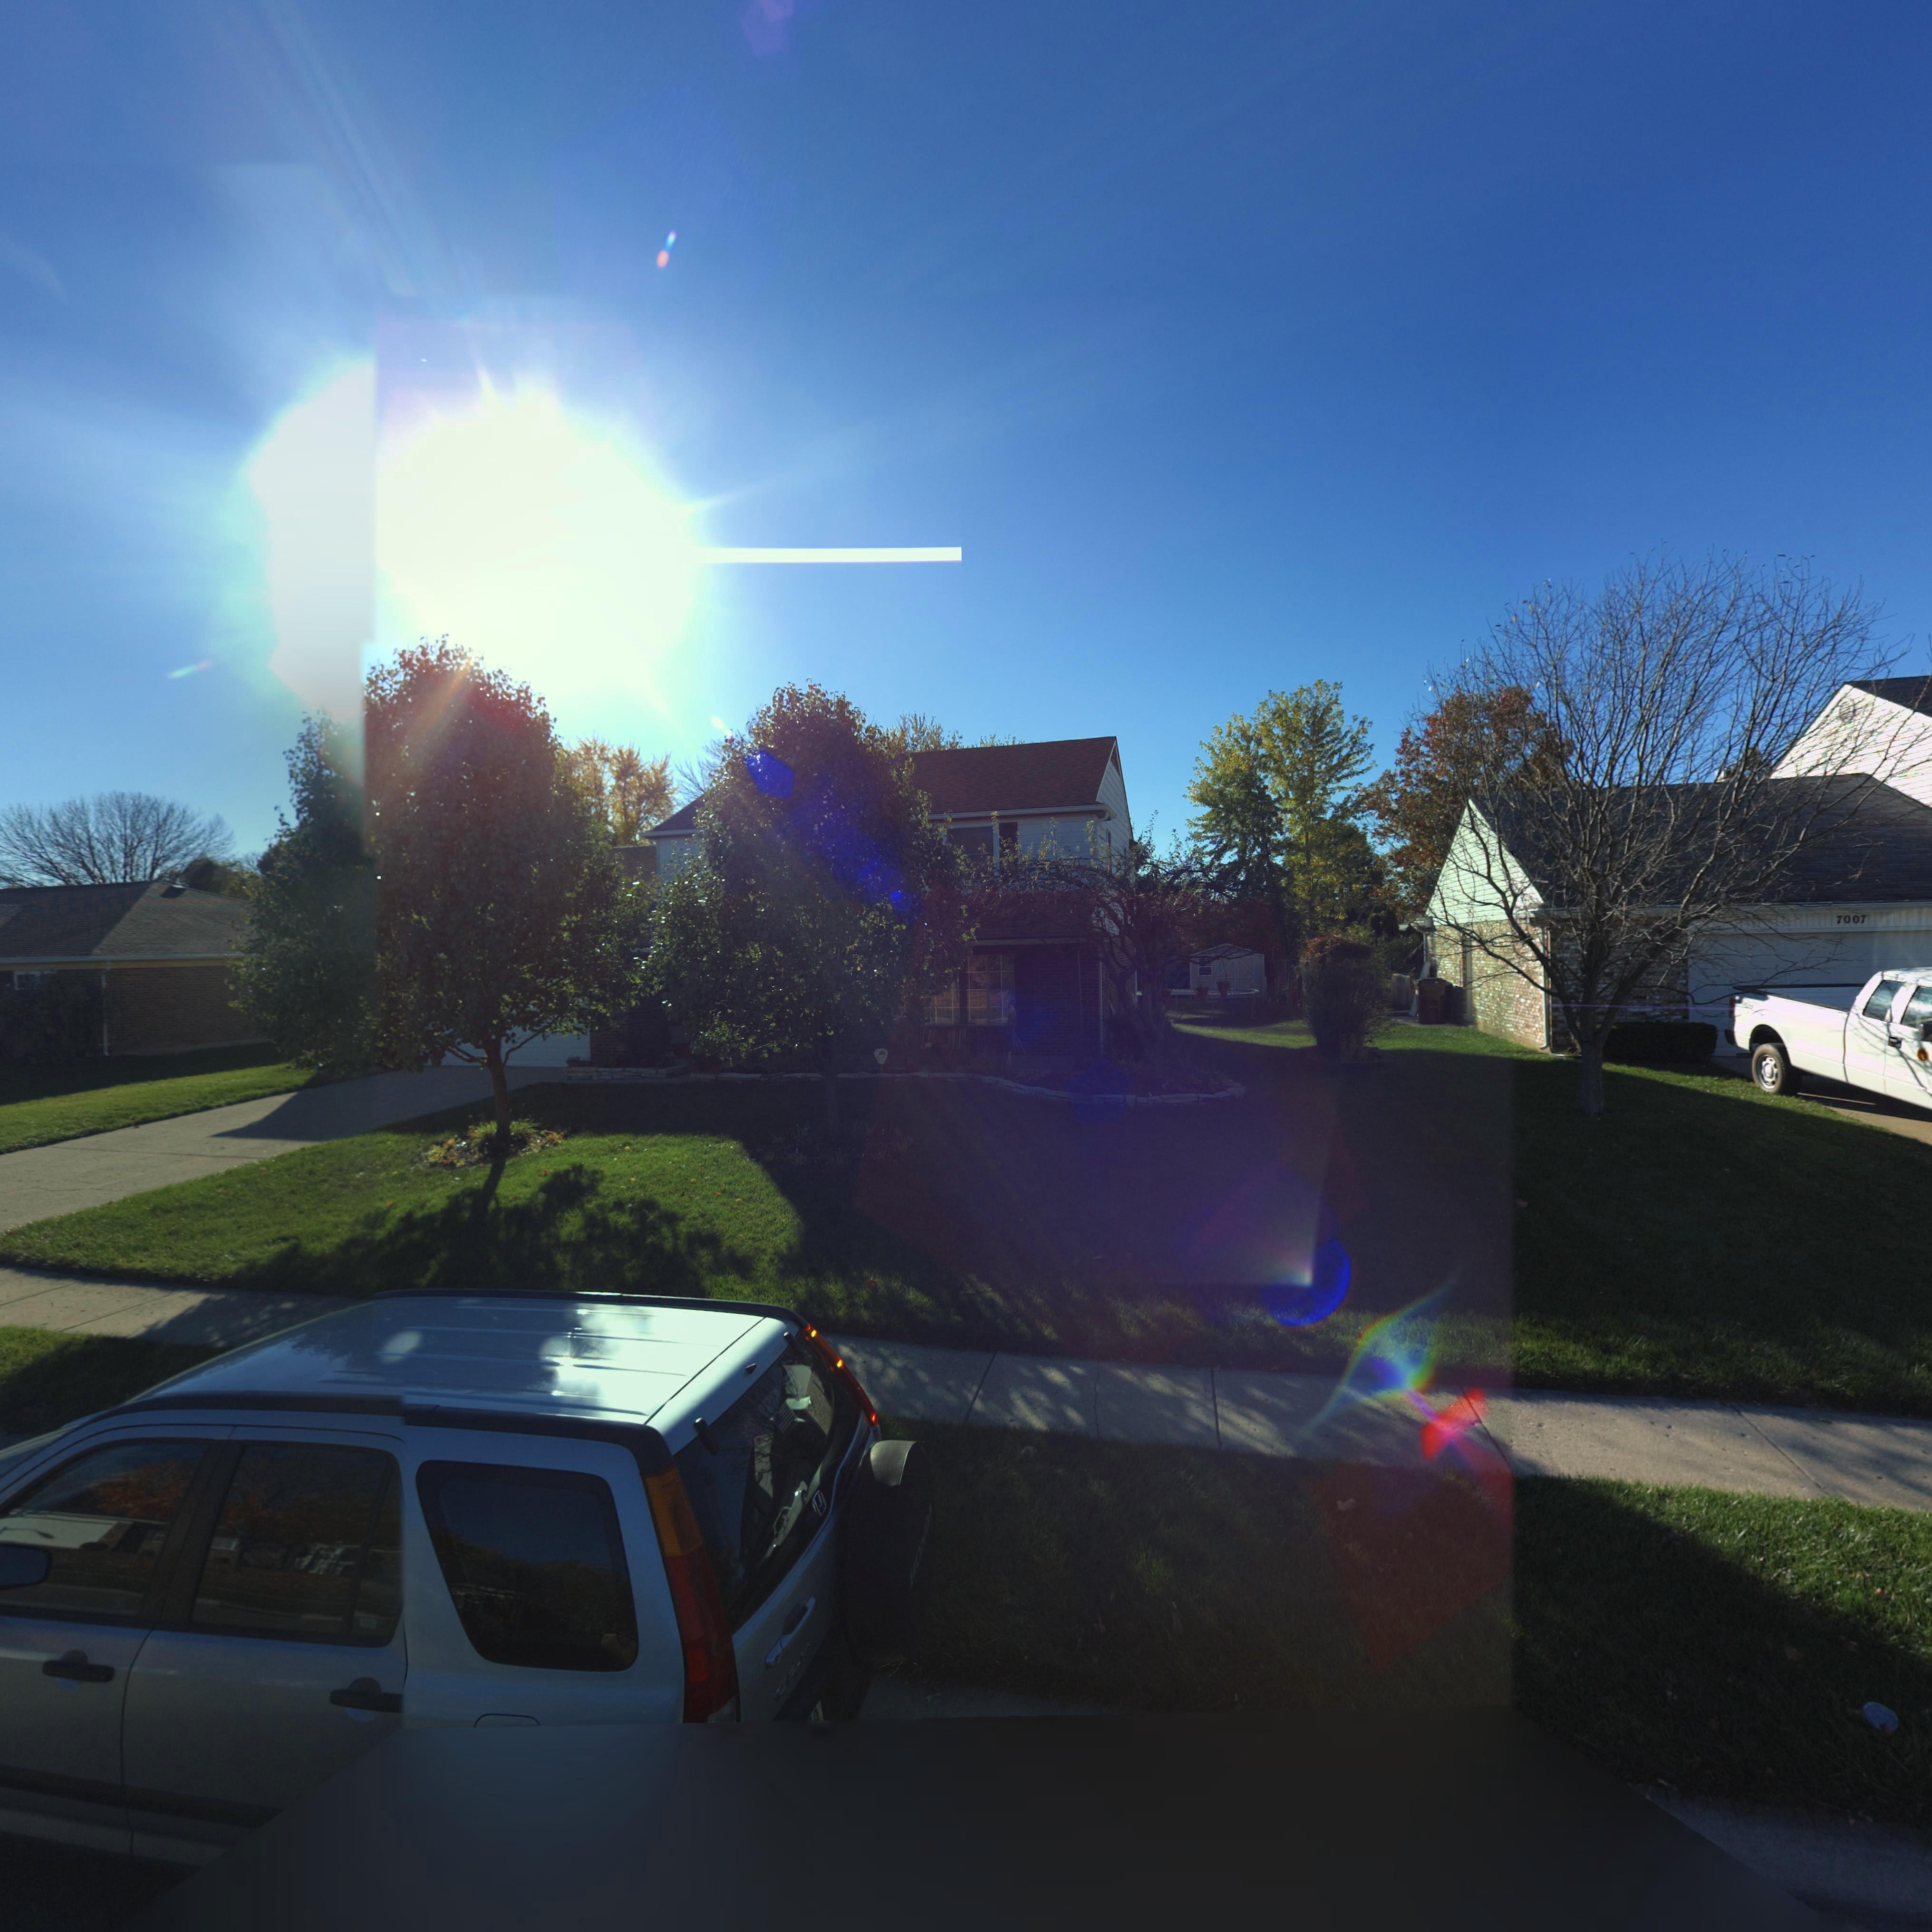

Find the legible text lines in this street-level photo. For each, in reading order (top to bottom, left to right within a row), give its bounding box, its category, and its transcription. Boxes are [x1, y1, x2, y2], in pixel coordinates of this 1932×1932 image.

[1835, 914, 1867, 924] StreetNumber: 7007